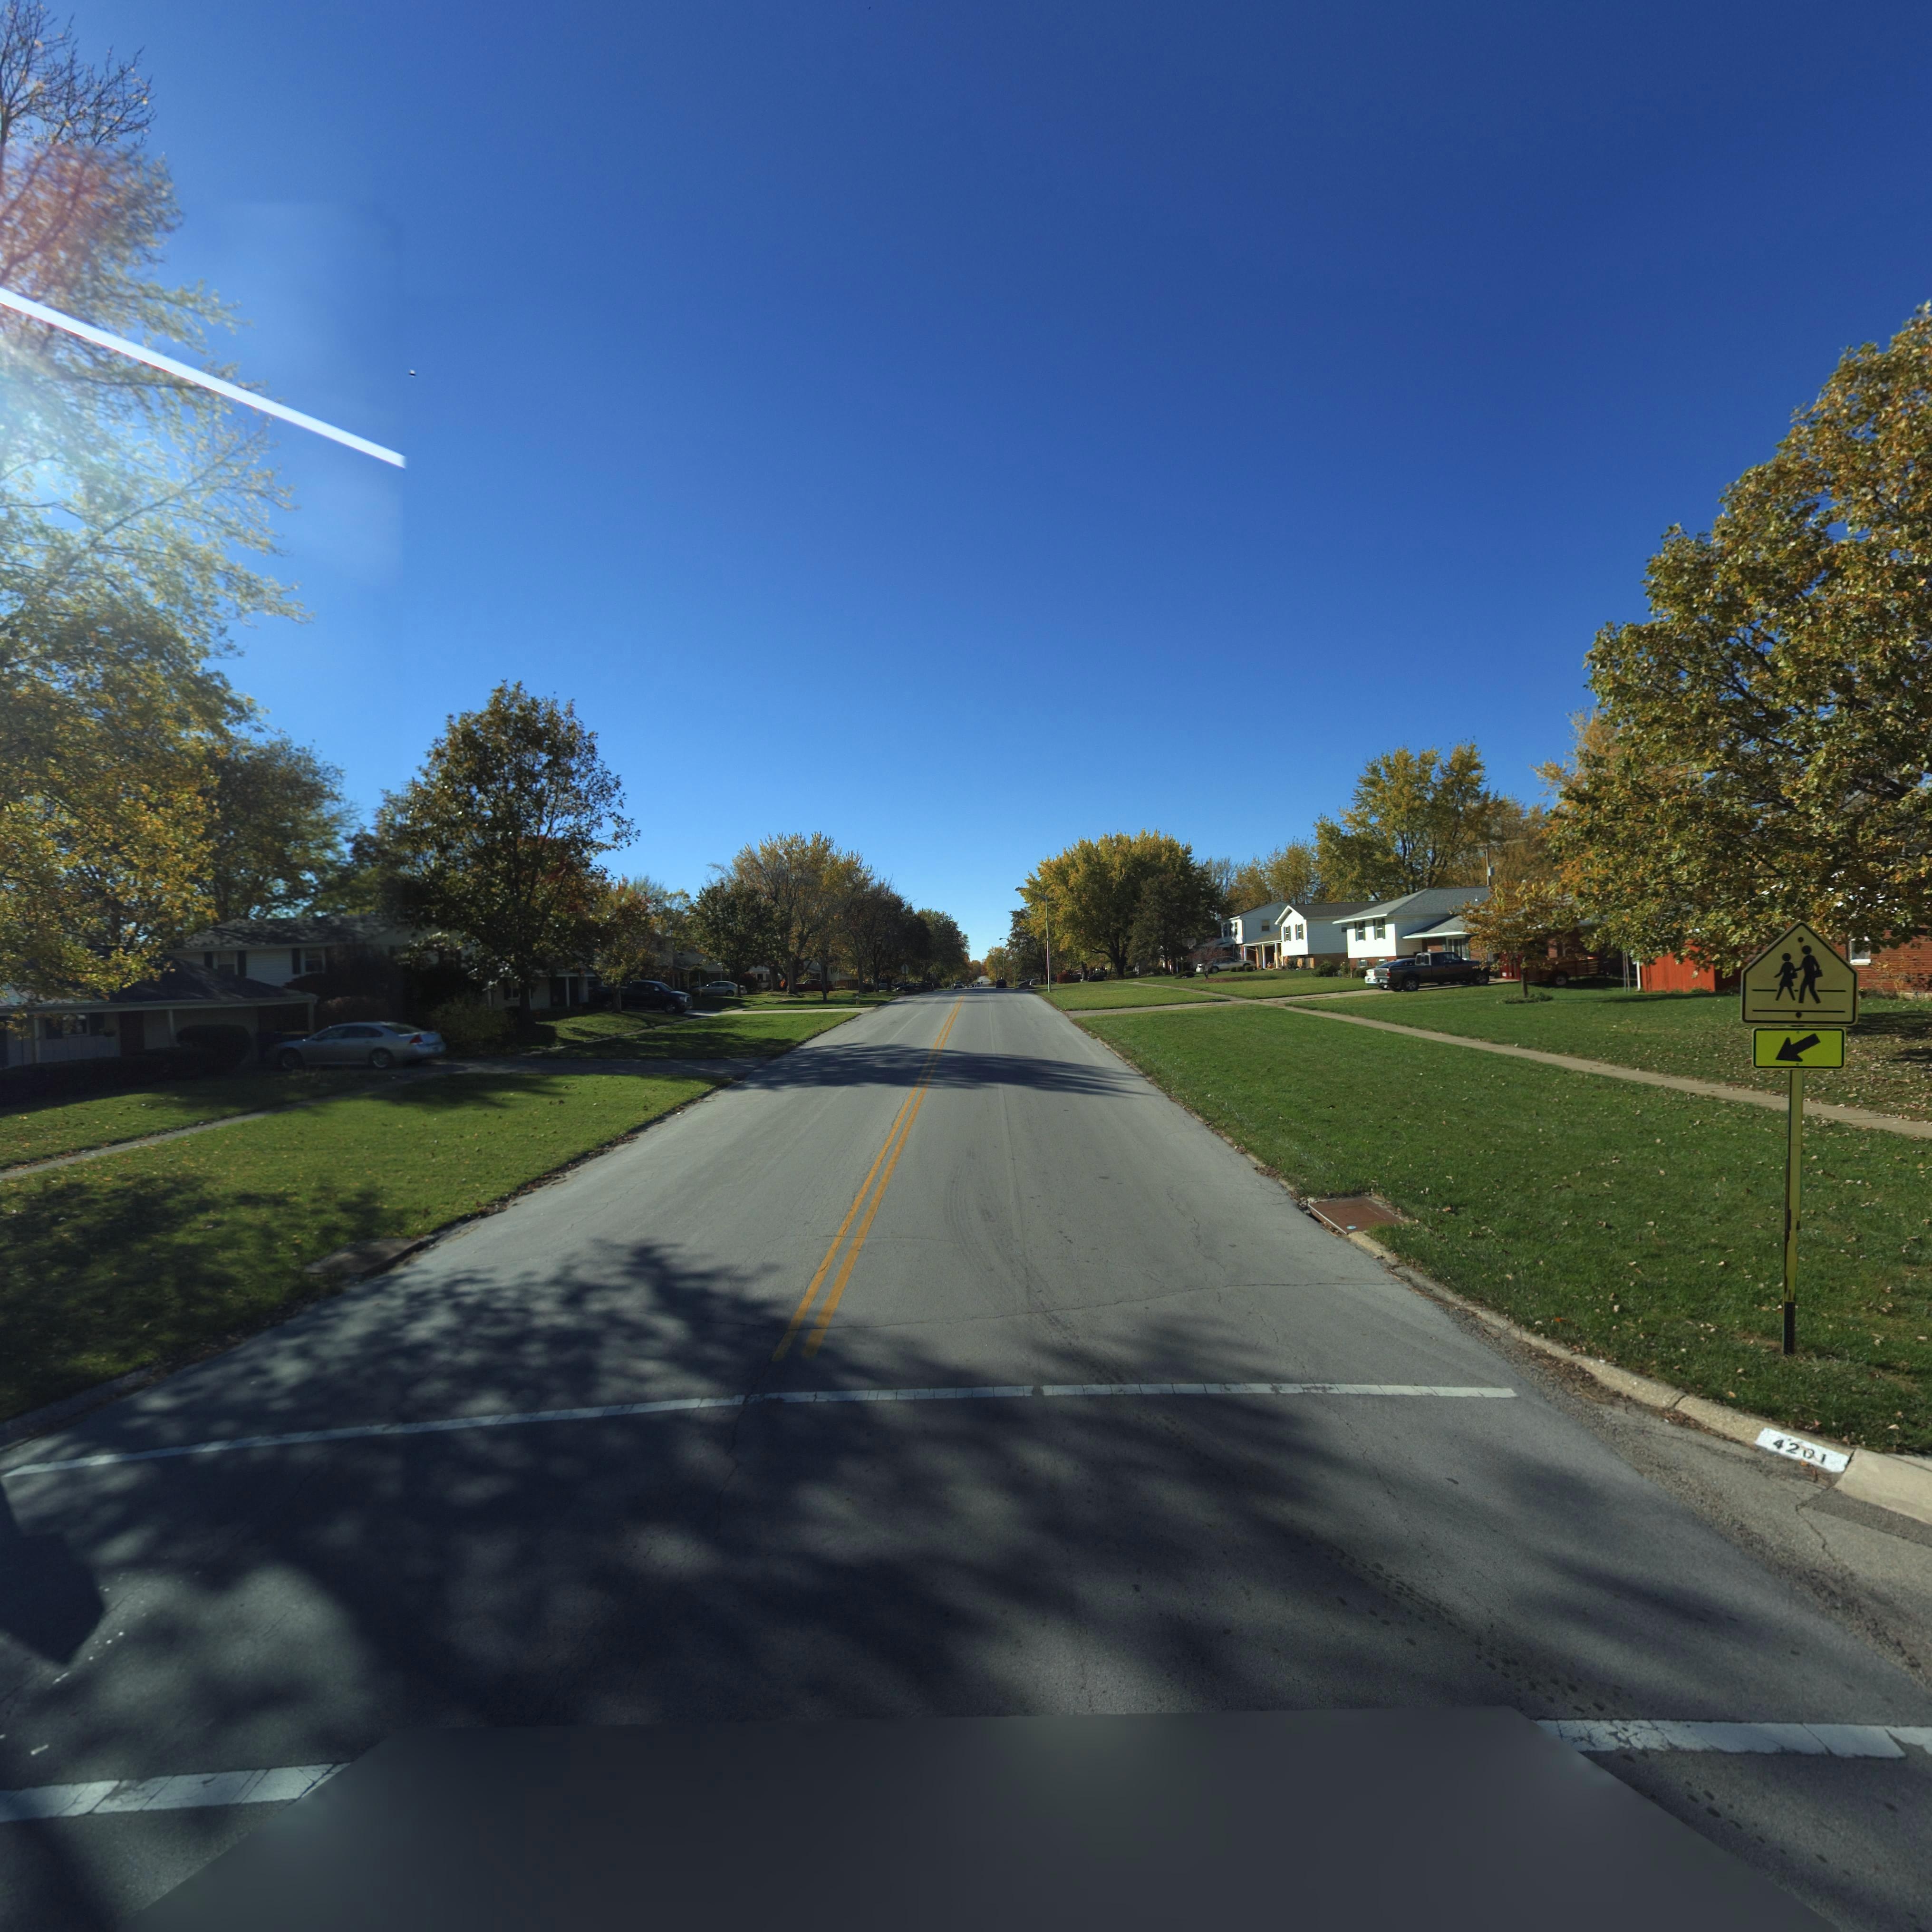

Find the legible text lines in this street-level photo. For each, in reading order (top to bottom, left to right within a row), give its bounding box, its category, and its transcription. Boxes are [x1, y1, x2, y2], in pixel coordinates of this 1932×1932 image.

[1771, 1438, 1828, 1465] StreetNumber: 4201